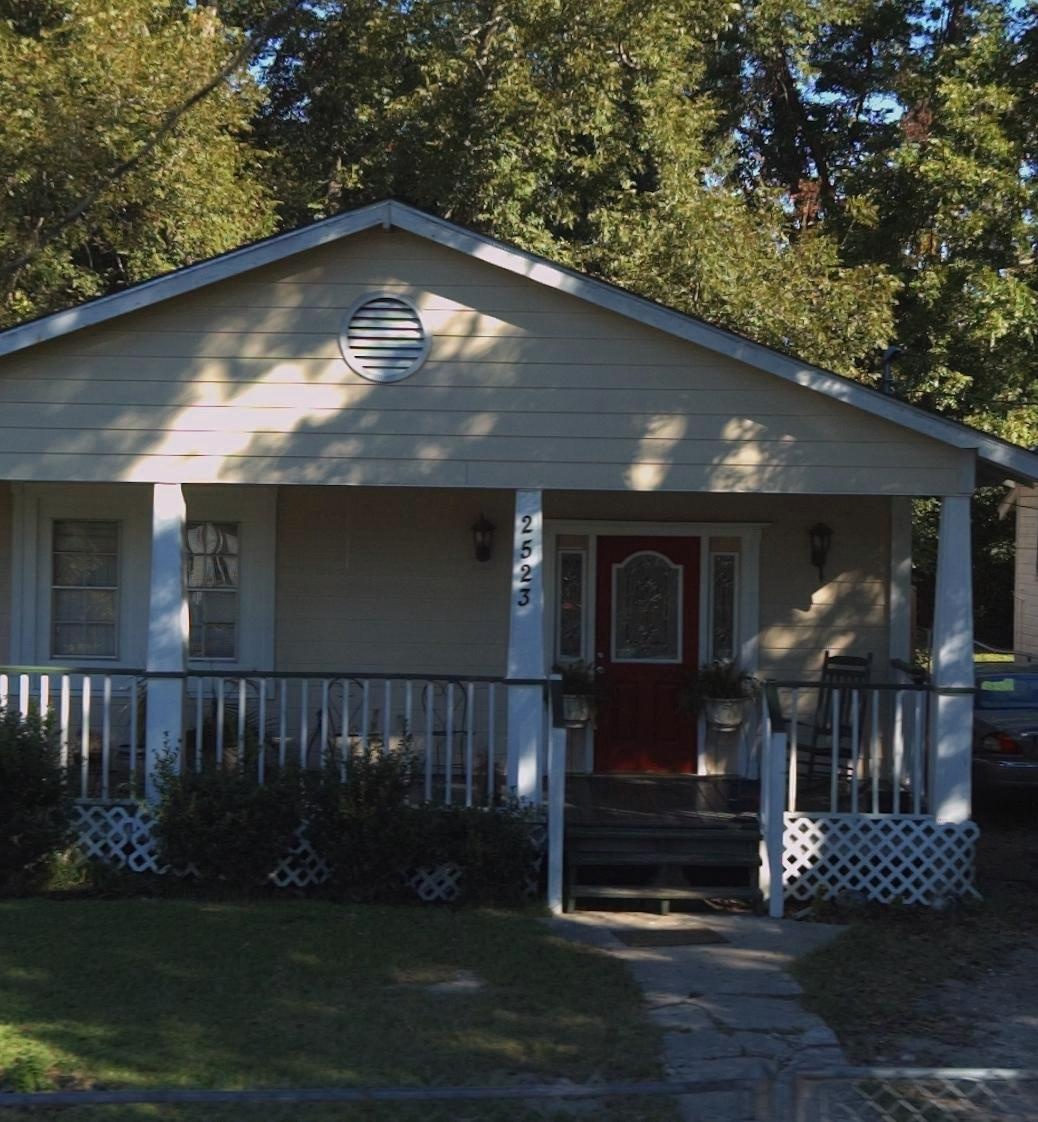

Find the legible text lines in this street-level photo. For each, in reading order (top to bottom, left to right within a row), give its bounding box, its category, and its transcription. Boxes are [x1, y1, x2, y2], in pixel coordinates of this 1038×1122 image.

[515, 513, 535, 609] StreetNumber: 2523